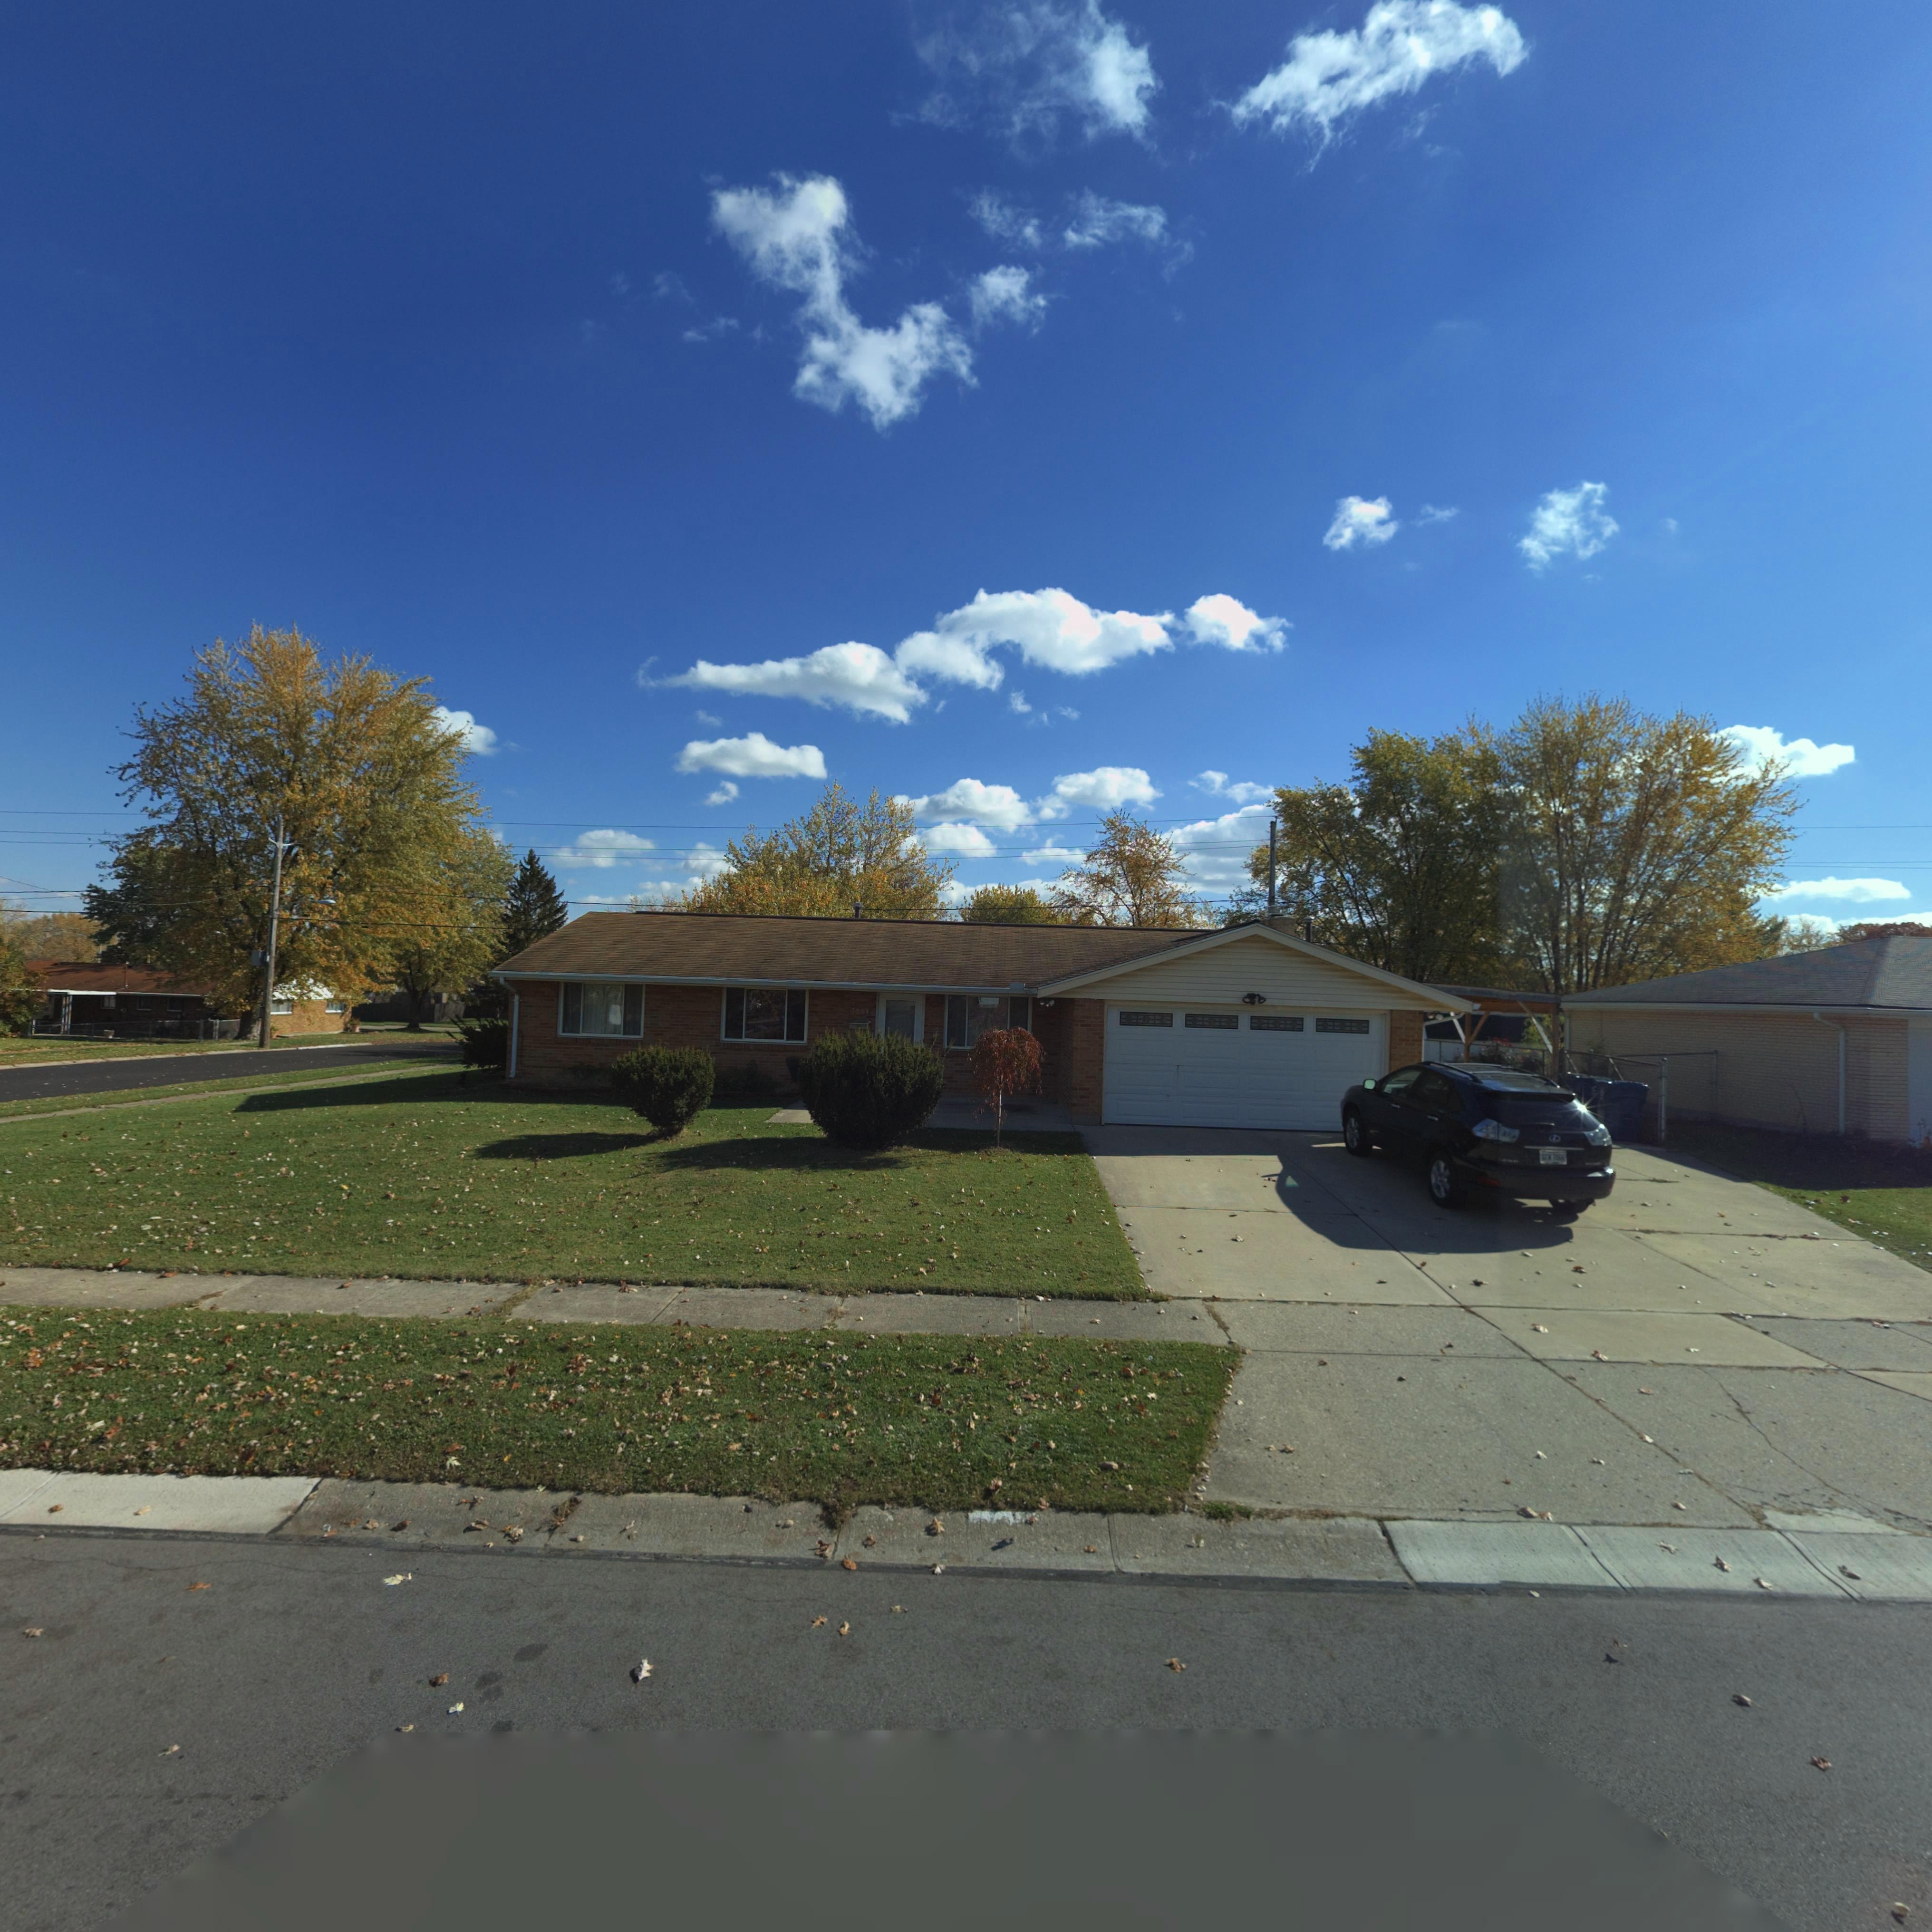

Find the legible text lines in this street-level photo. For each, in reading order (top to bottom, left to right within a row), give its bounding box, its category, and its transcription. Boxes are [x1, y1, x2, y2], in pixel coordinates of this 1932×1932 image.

[850, 1007, 869, 1015] StreetNumber: 7591